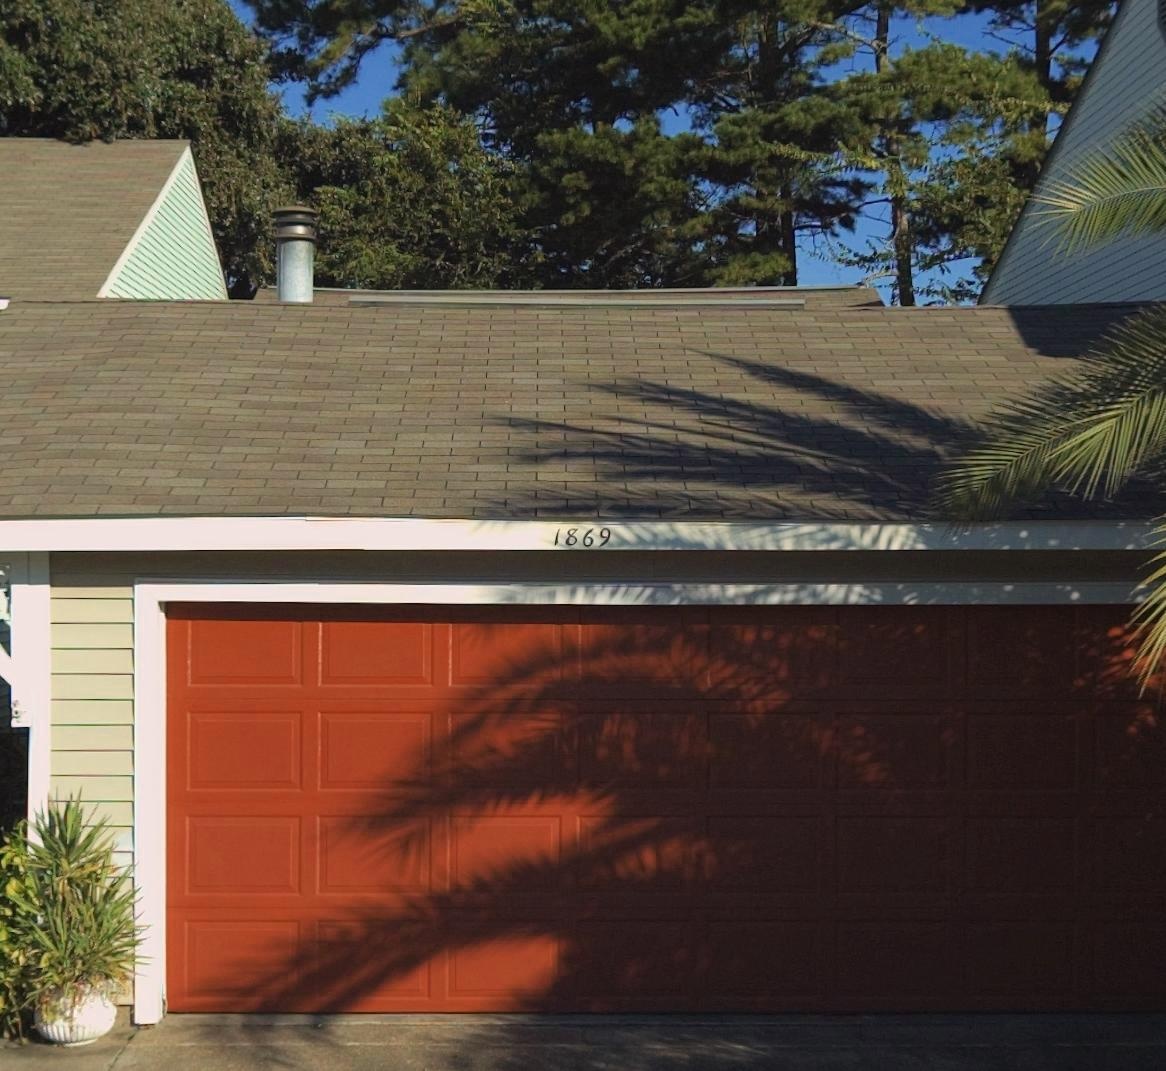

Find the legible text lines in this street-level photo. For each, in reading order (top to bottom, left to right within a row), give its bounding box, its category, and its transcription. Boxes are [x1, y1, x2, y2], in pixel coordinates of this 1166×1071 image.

[552, 525, 613, 550] StreetNumber: 1869